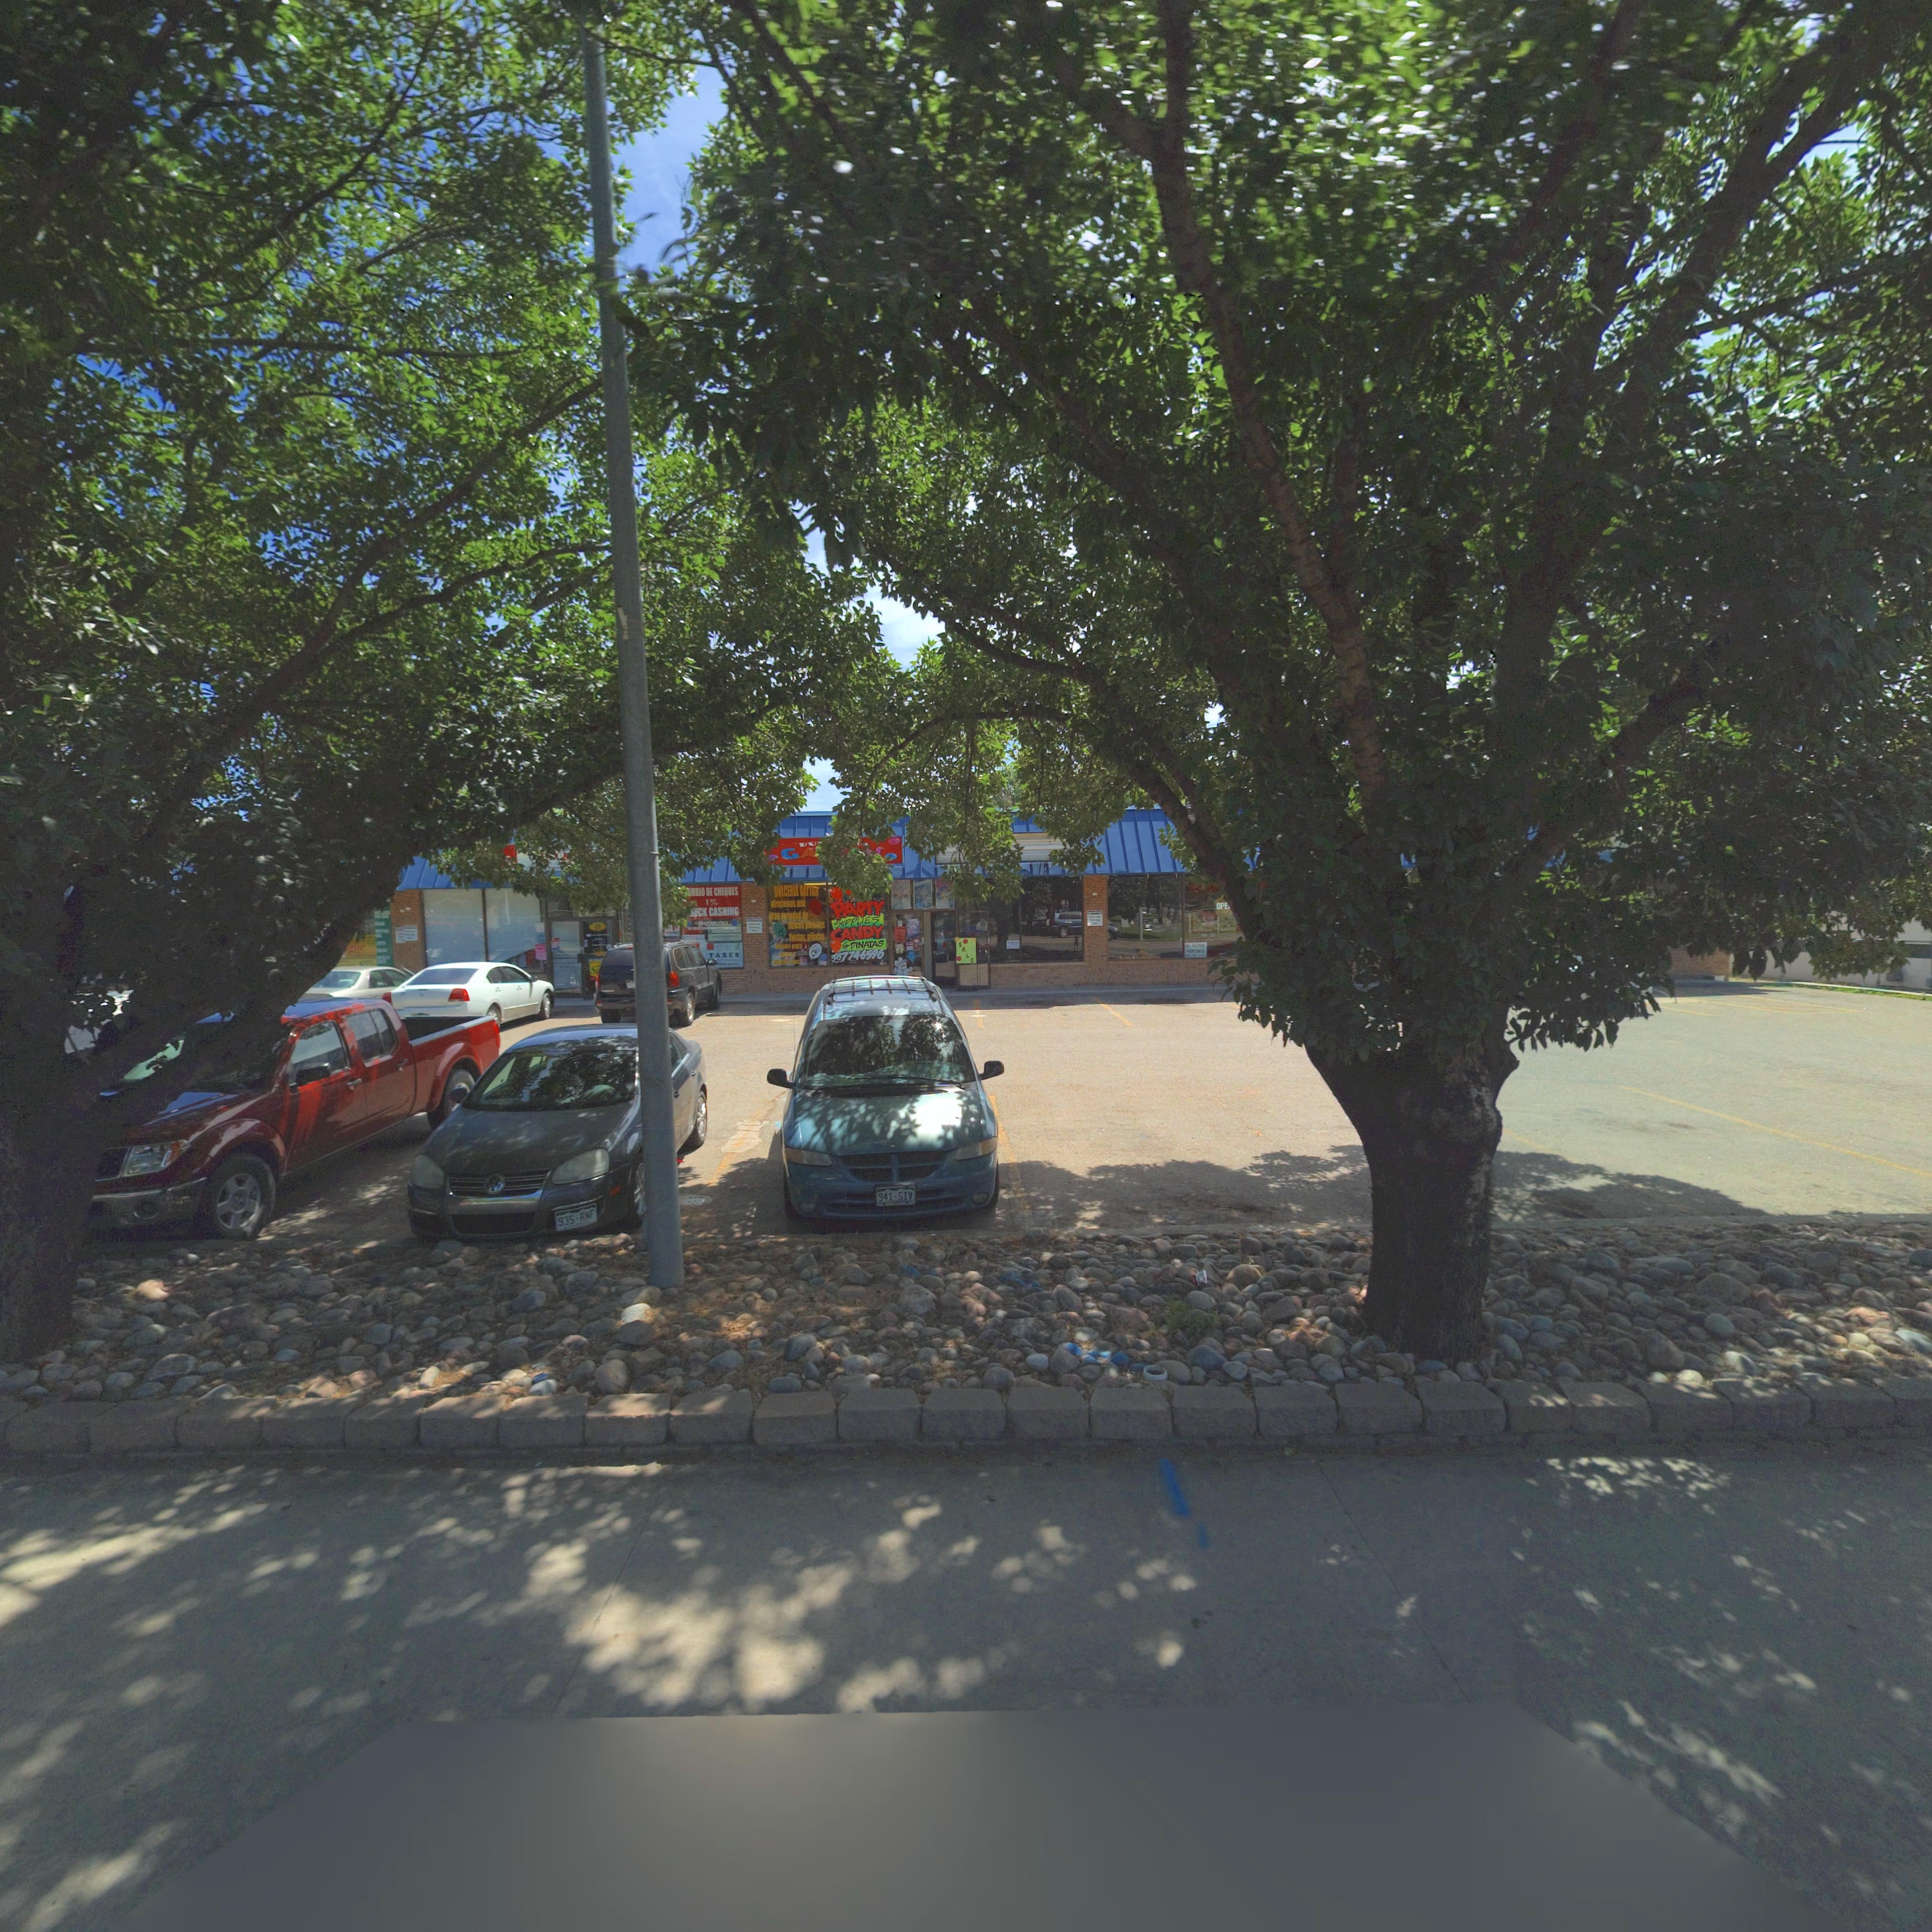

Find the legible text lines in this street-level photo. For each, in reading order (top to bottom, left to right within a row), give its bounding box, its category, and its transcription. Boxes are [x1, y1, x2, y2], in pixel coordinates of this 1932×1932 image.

[798, 840, 822, 847] BusinessName: DU*
[779, 847, 818, 860] BusinessName: GA